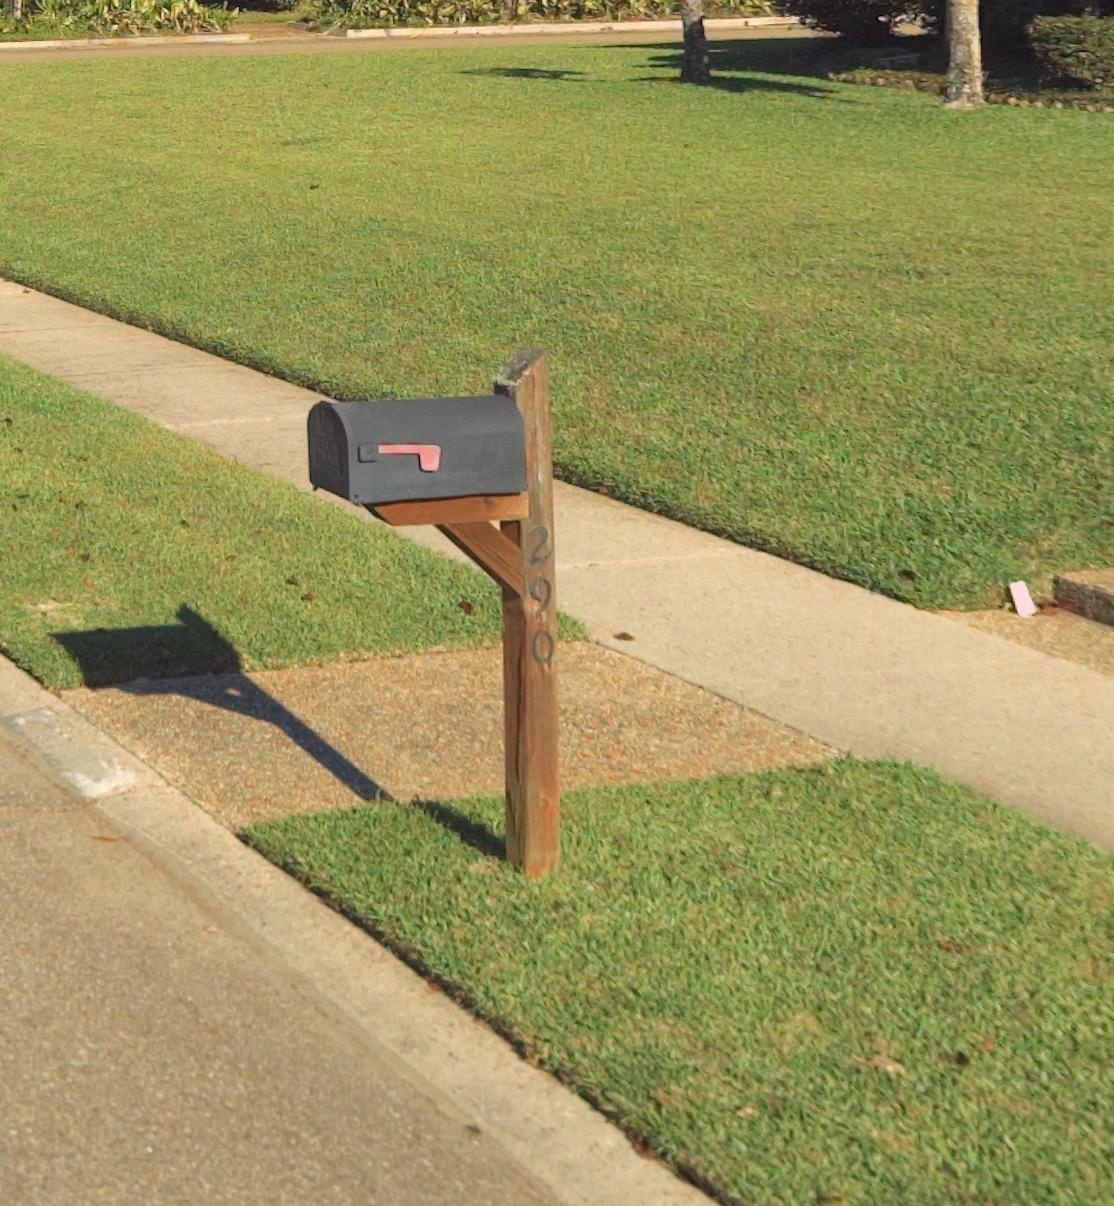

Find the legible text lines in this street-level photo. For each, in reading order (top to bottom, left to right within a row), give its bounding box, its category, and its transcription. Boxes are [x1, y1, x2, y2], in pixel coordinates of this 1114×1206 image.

[526, 522, 556, 665] StreetNumber: 290